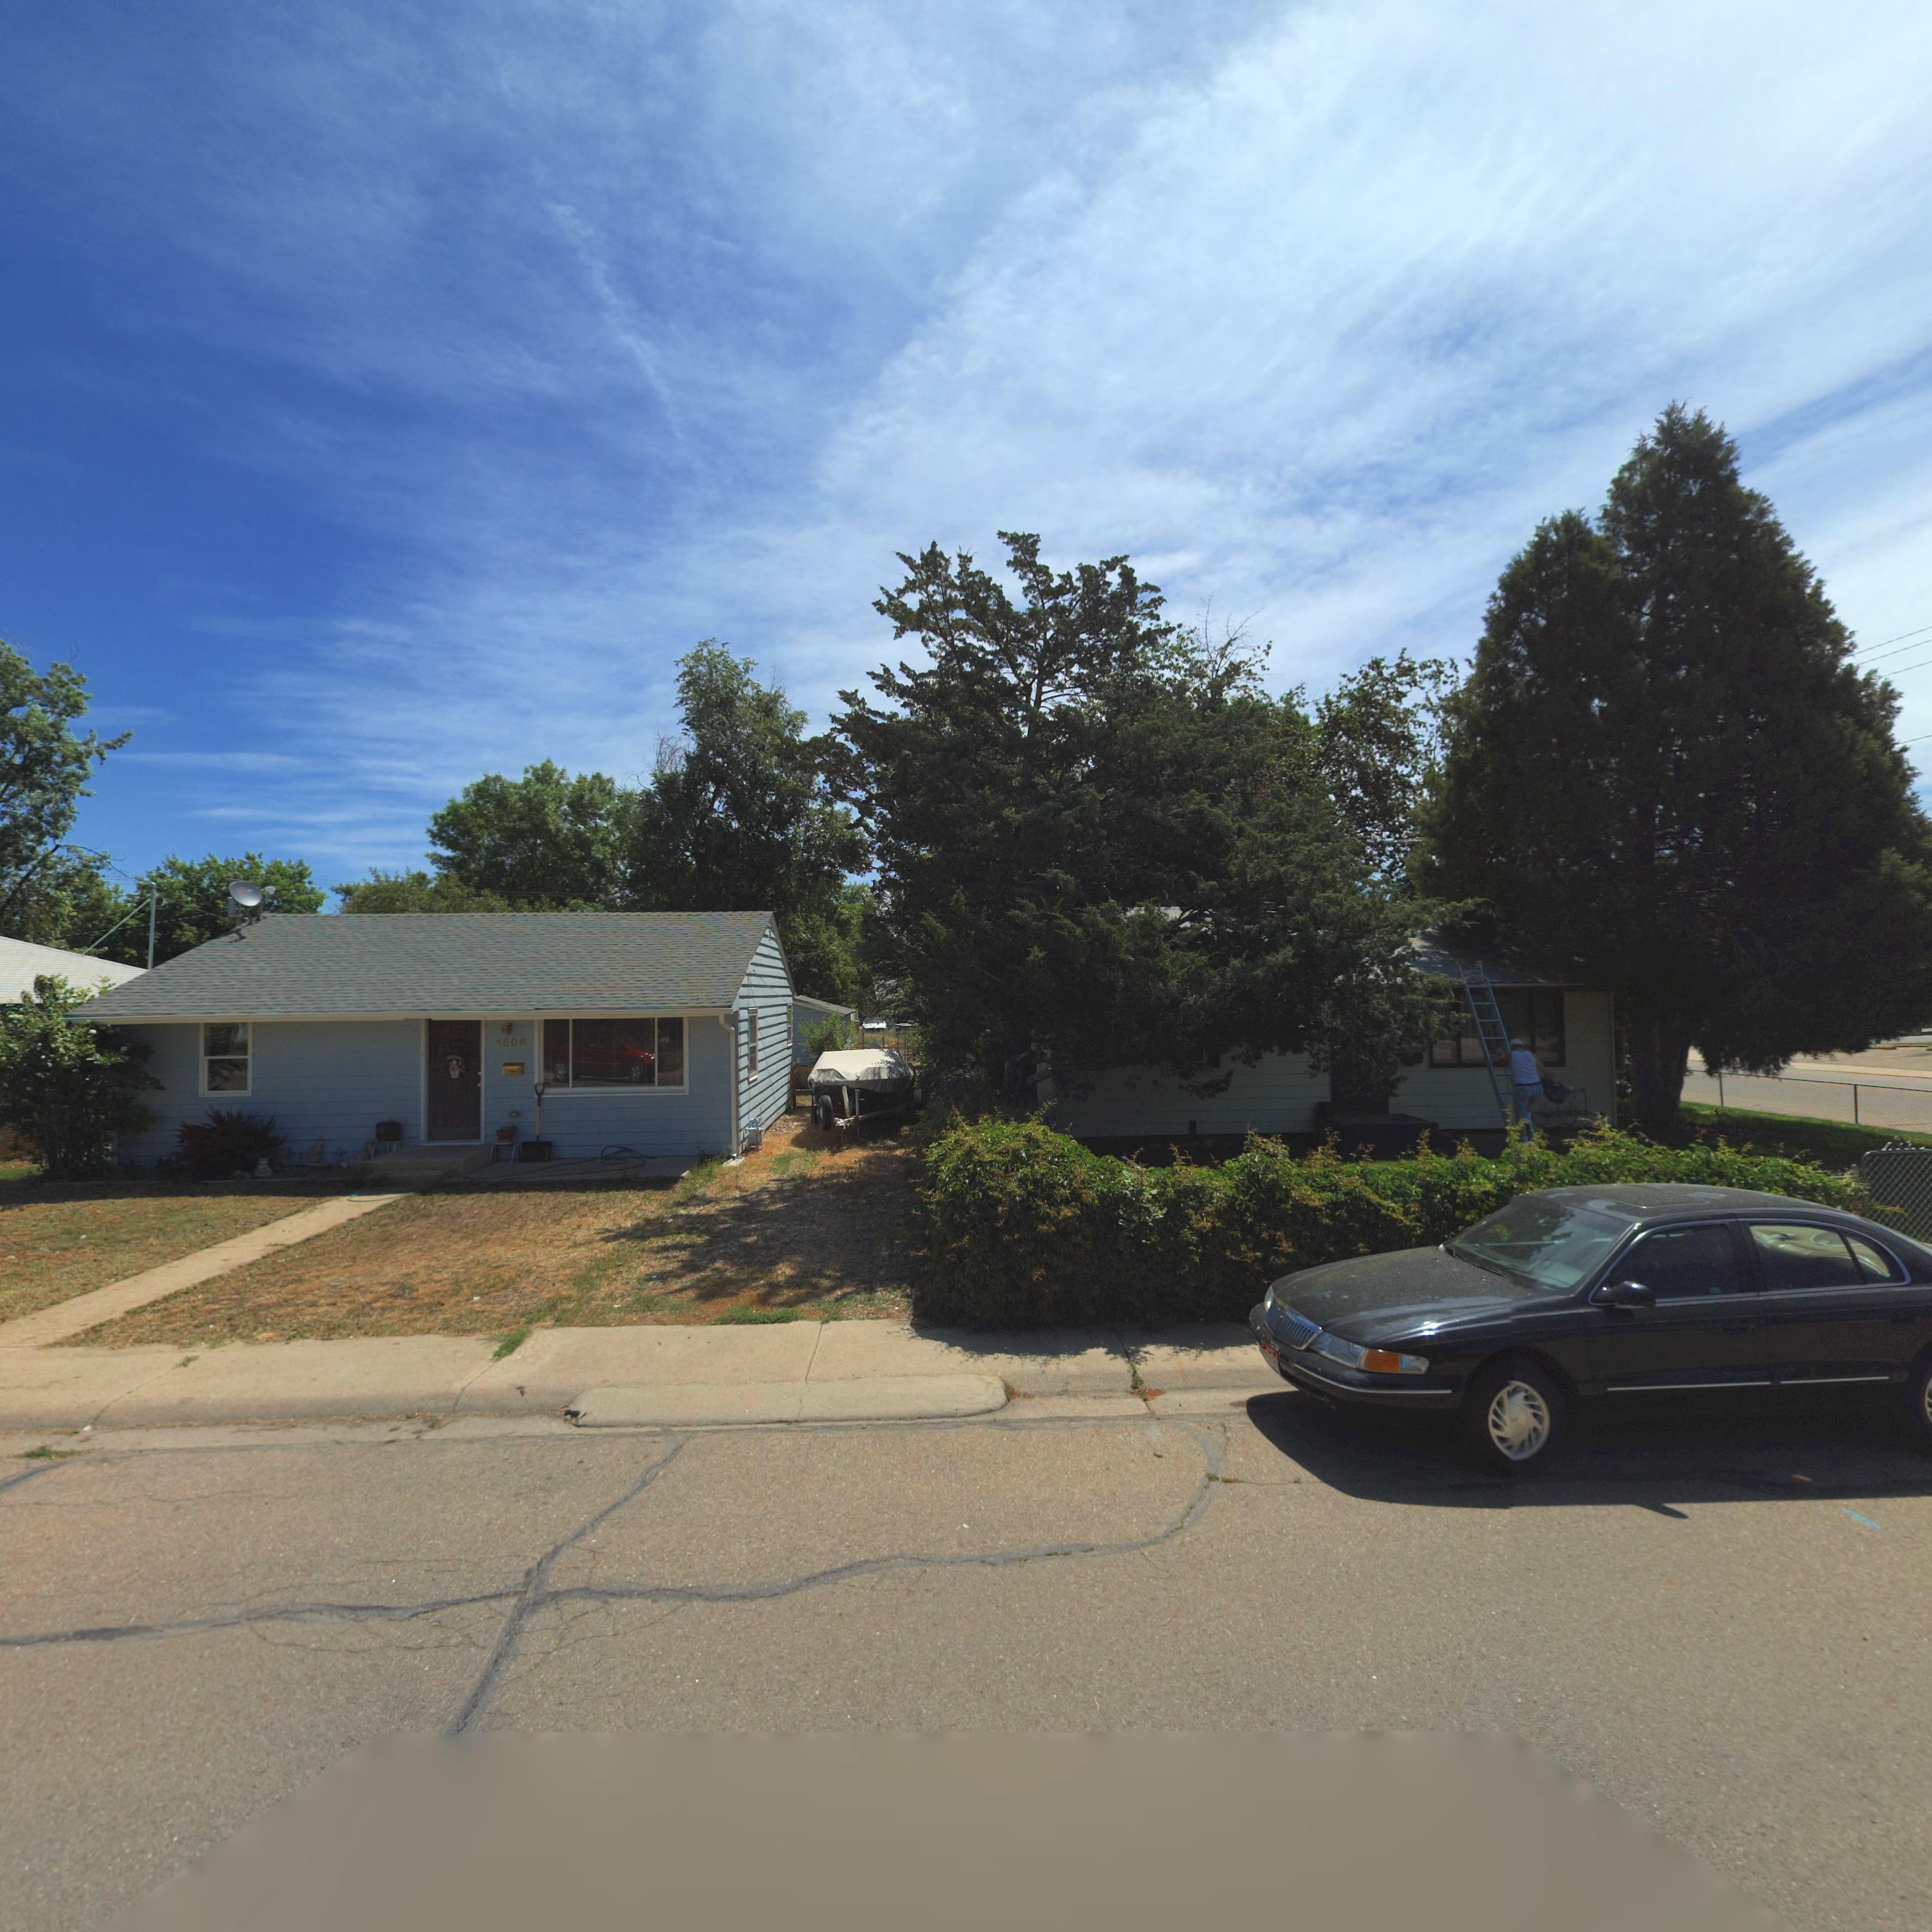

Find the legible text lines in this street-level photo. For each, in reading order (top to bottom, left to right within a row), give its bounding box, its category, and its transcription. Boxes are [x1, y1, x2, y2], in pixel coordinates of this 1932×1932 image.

[496, 1037, 527, 1047] StreetNumber: 1606